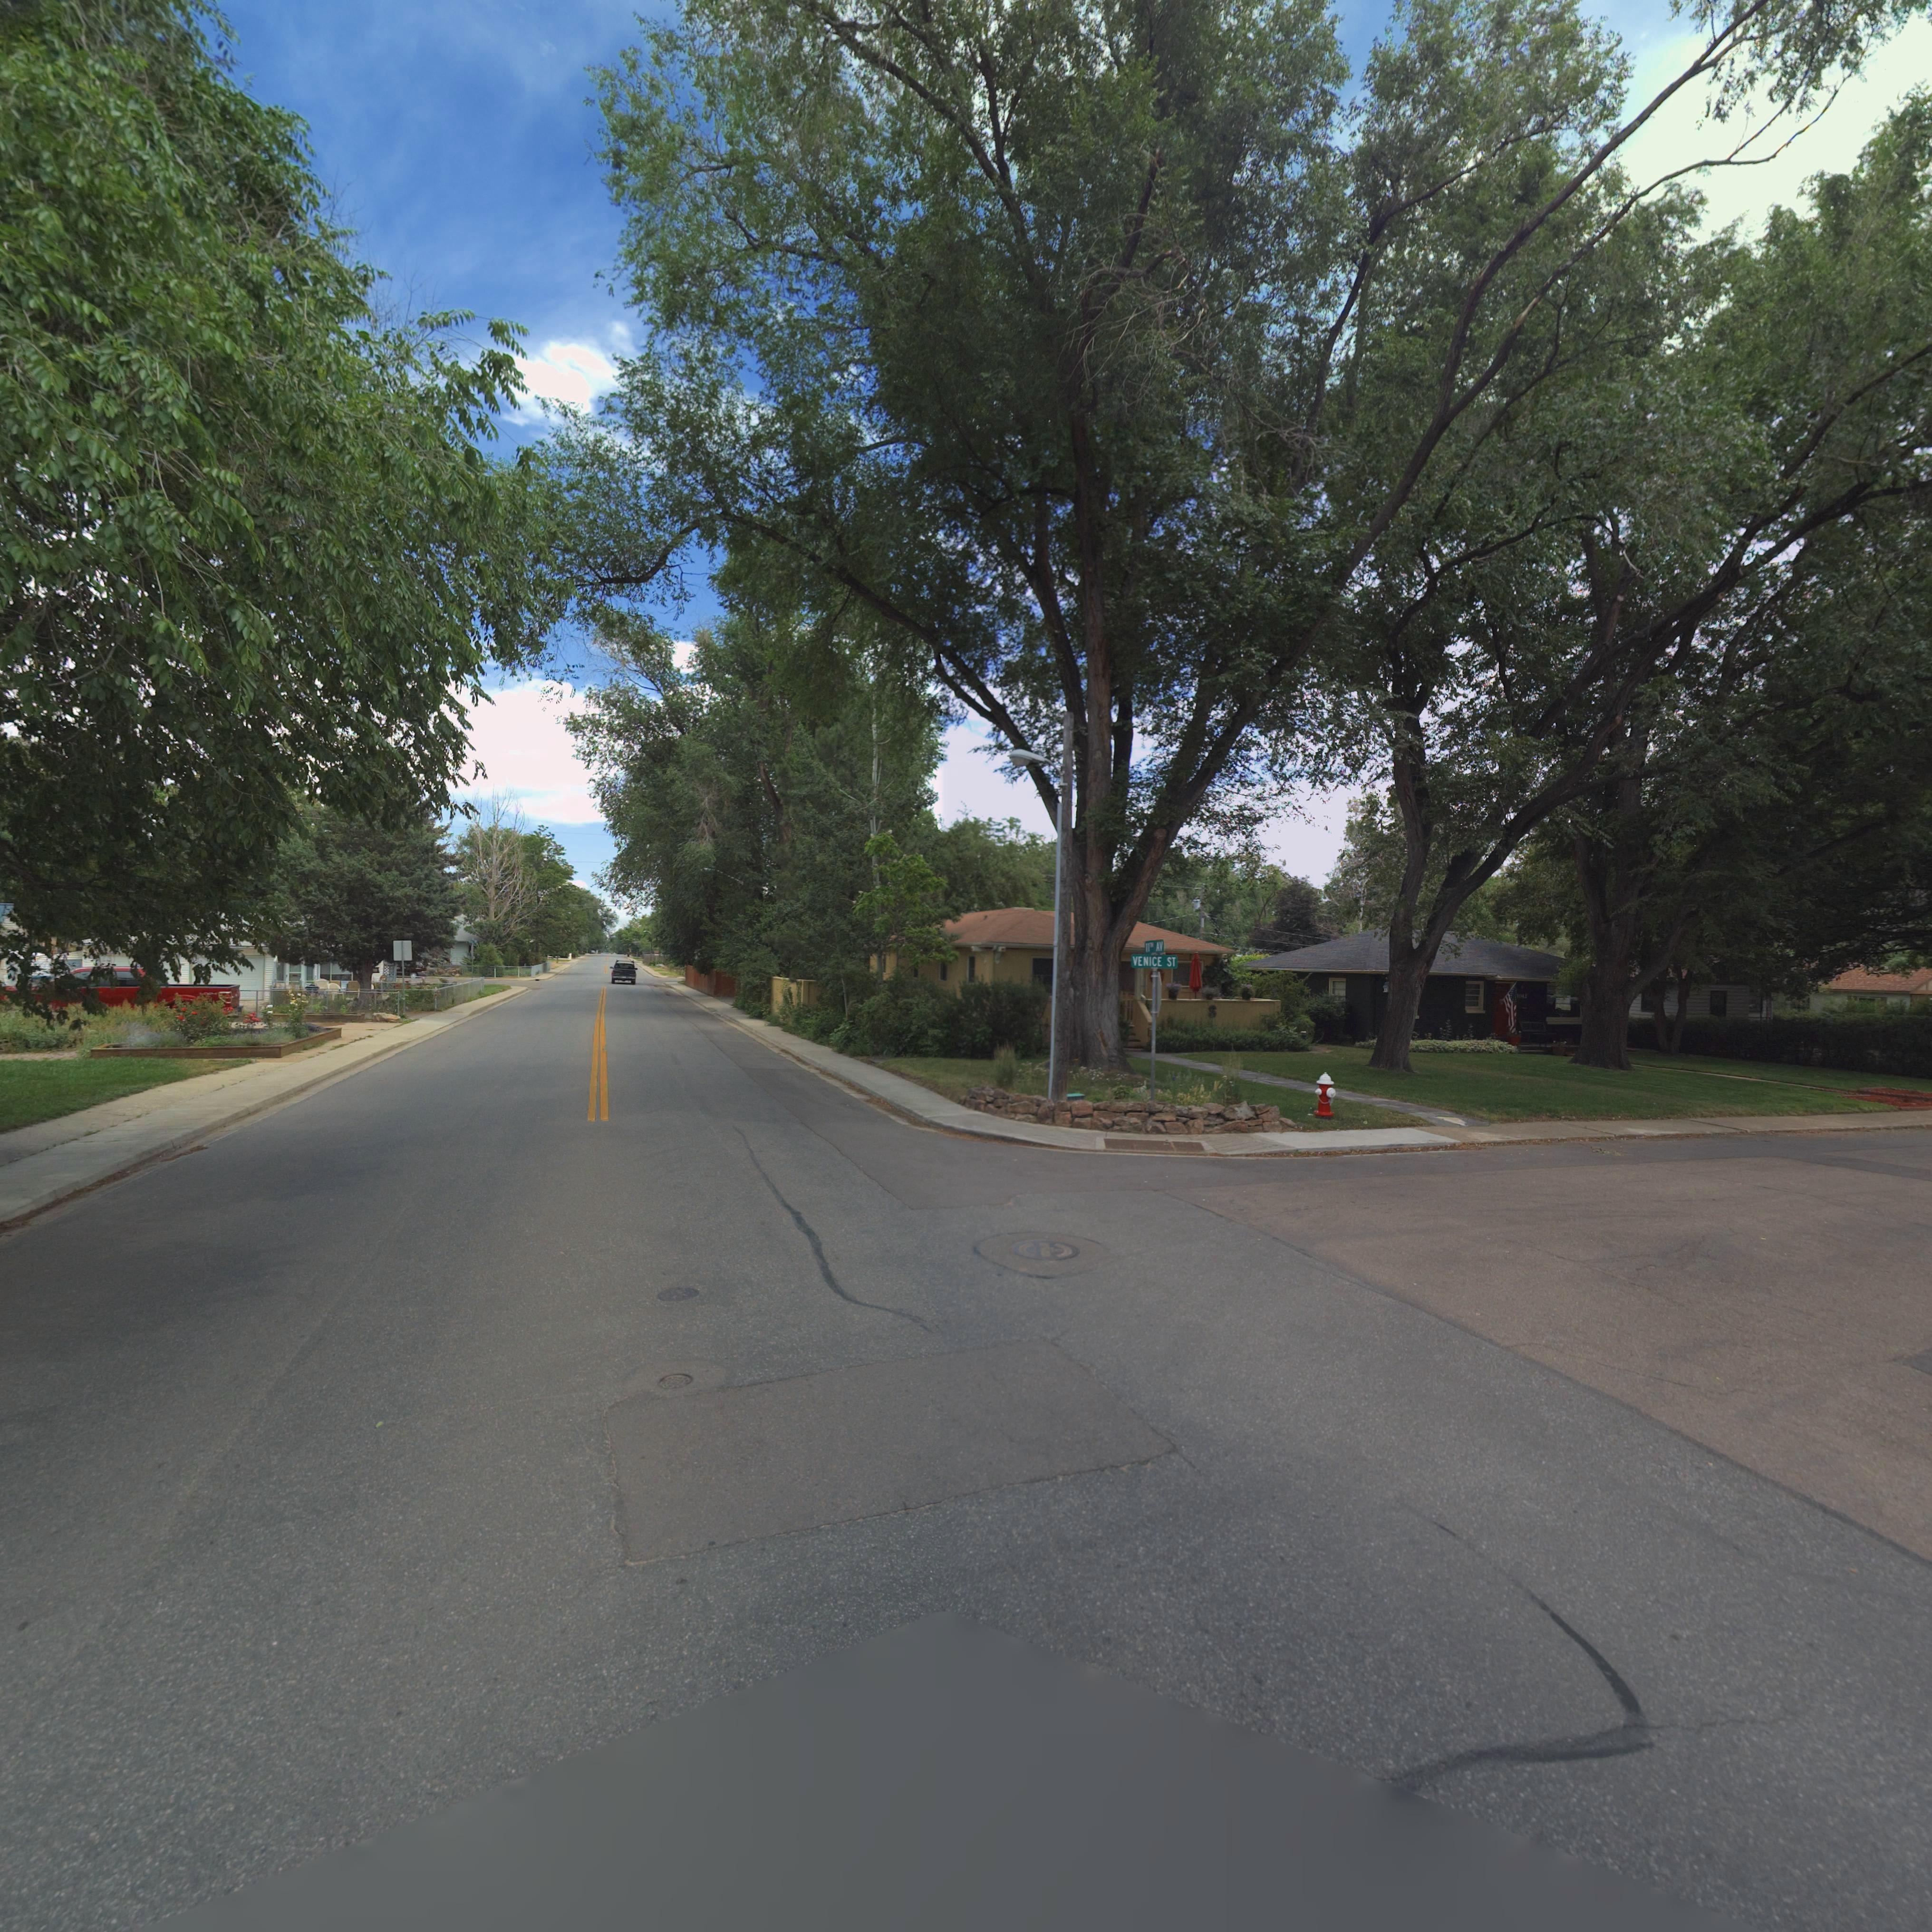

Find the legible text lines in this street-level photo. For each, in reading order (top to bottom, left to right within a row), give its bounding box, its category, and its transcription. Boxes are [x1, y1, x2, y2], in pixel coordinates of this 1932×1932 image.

[1145, 941, 1163, 952] StreetName: 11TH AV
[1132, 956, 1177, 967] StreetName: VENICE ST
[1517, 993, 1527, 999] StreetNumber: 1042